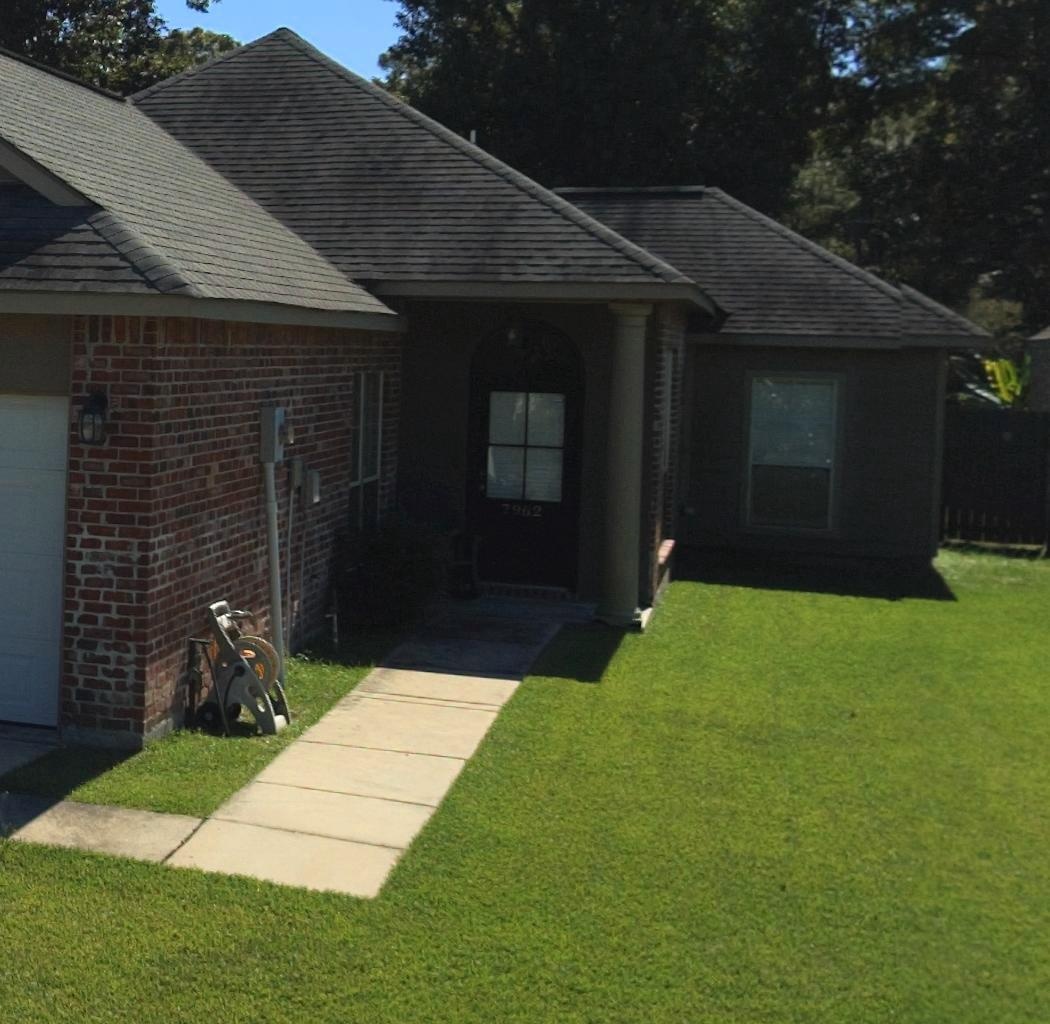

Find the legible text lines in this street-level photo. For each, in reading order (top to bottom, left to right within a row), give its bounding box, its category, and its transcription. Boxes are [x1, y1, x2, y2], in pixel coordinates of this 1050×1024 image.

[498, 500, 546, 521] StreetNumber: 7962